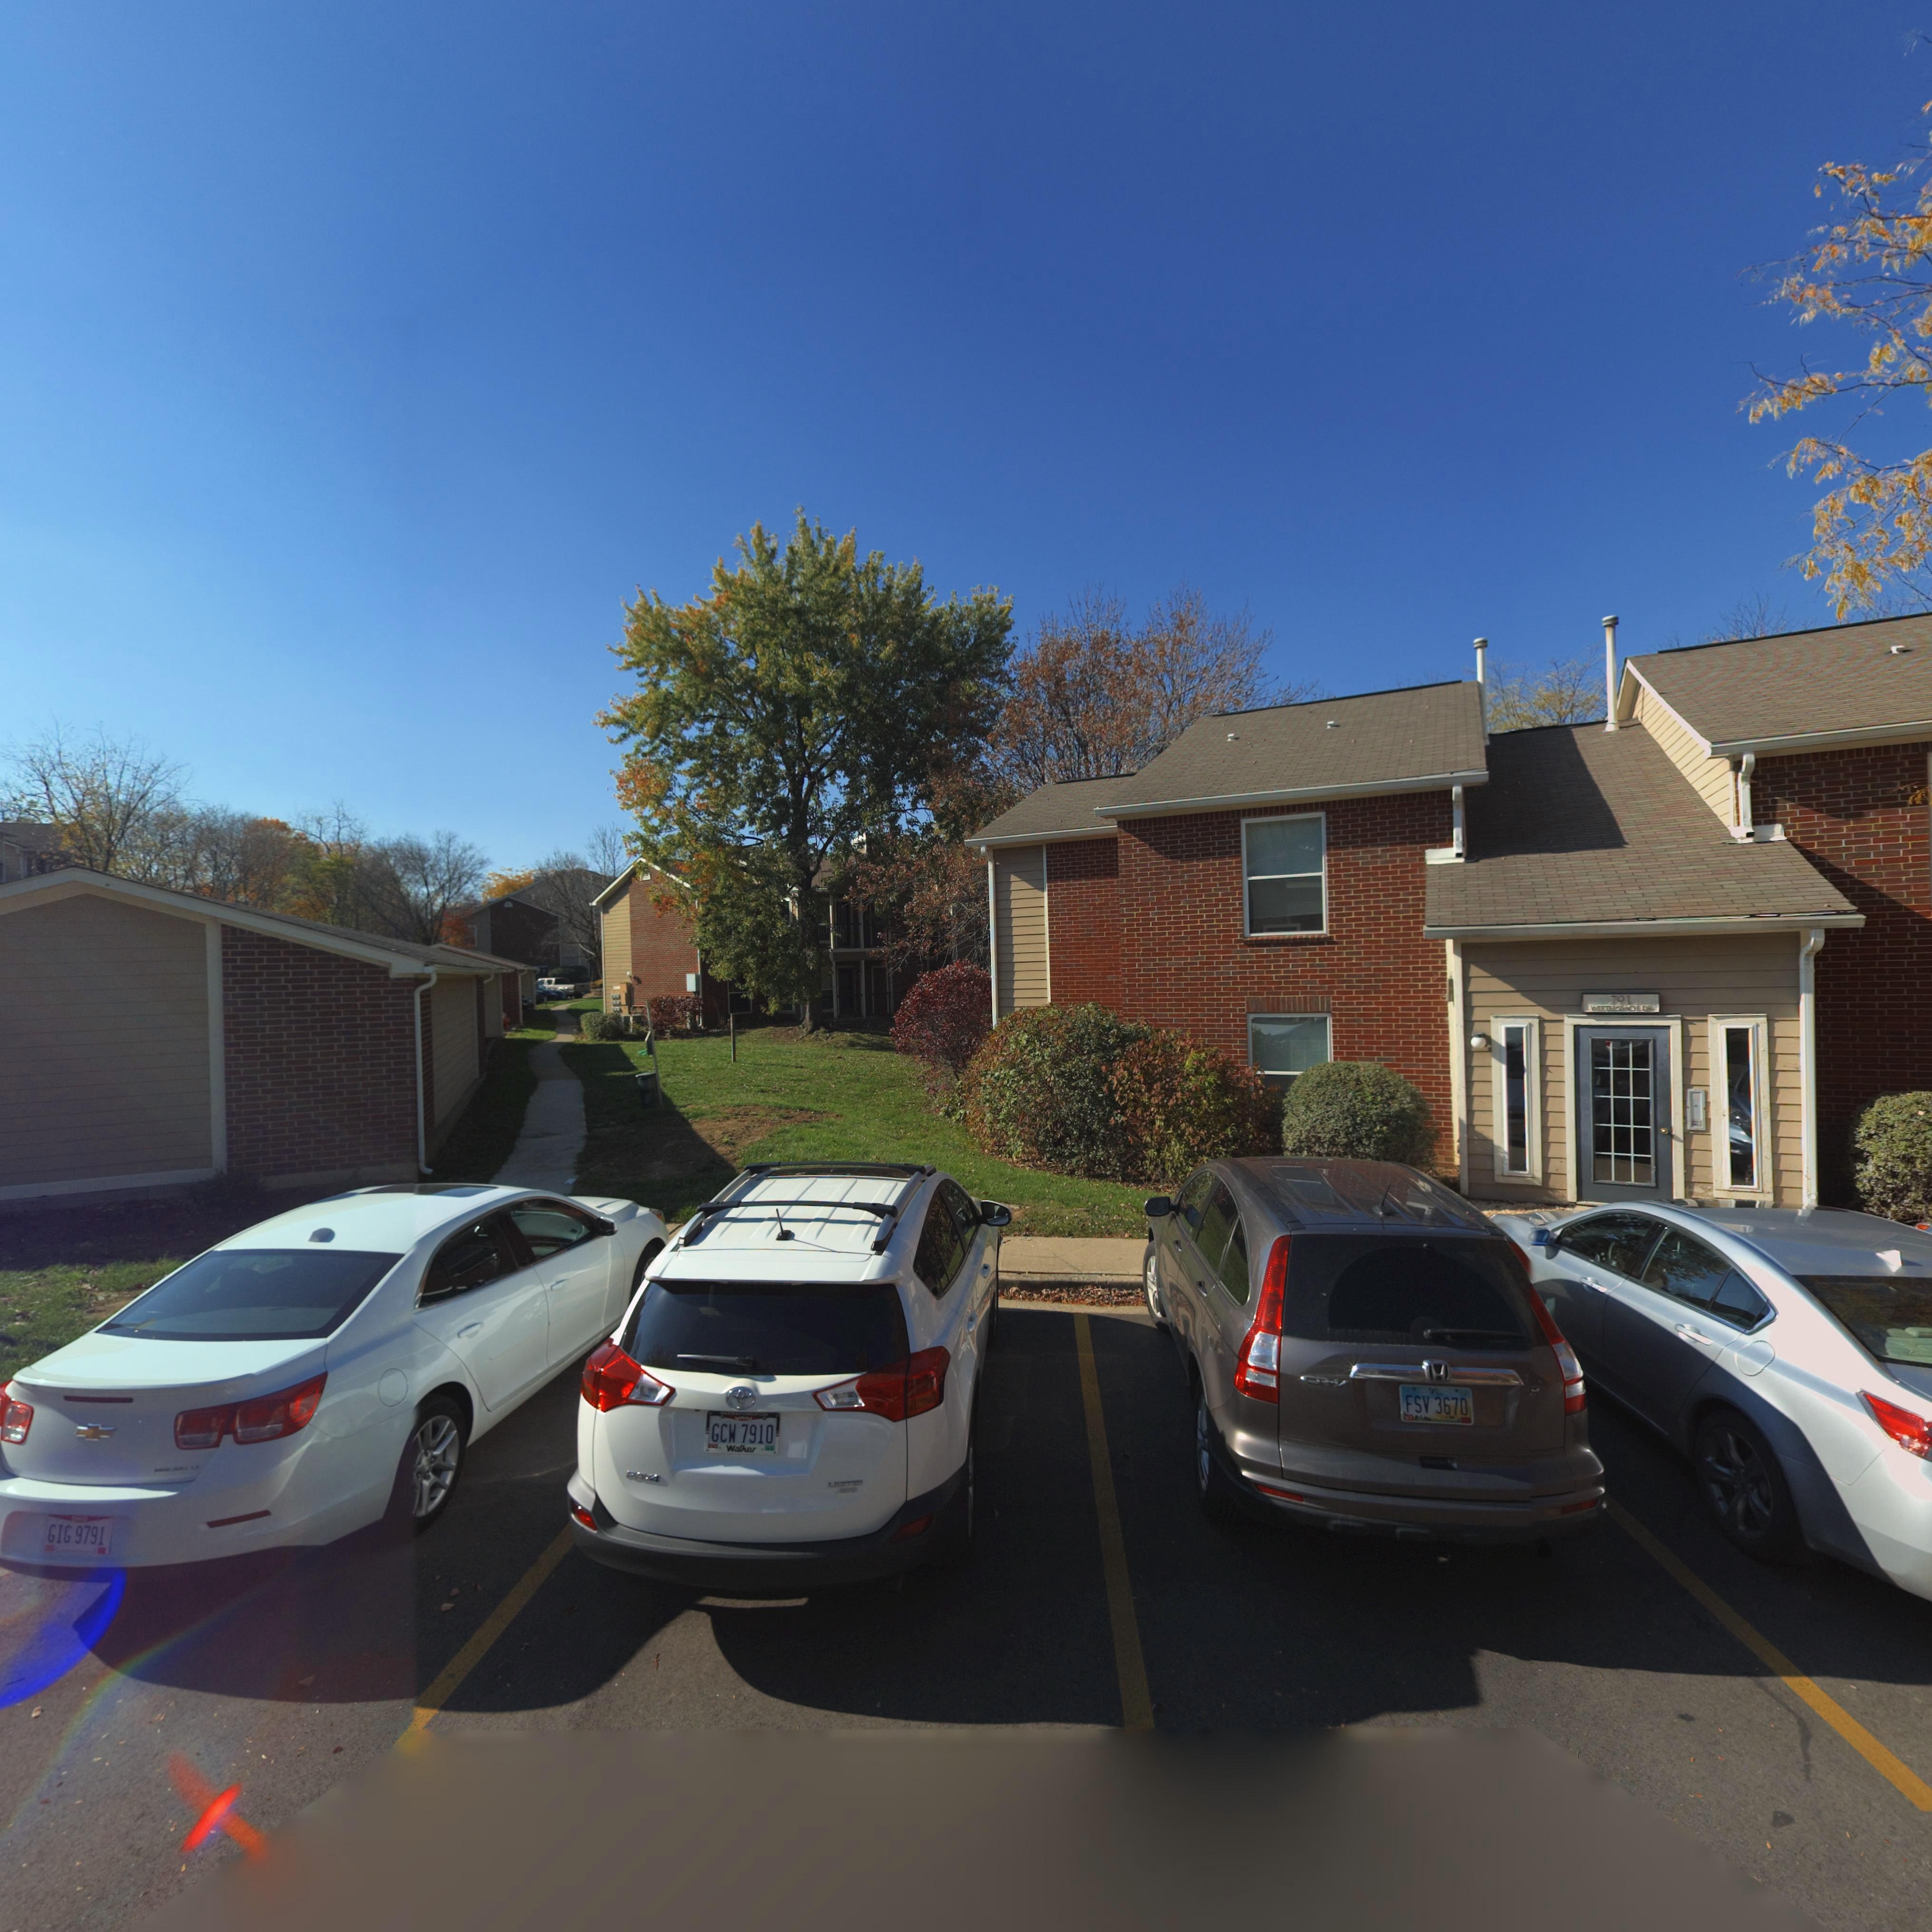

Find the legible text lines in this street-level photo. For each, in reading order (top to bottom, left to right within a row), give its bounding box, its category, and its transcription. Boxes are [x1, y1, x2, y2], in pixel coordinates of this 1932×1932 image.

[1609, 994, 1633, 1006] StreetNumber: 791
[1297, 1371, 1352, 1391] None: CR-V
[1402, 1392, 1472, 1419] None: FSV 3670
[710, 1420, 776, 1447] None: GCW 7910
[724, 1443, 759, 1455] None: Walker
[45, 1522, 107, 1547] None: GIG 9791